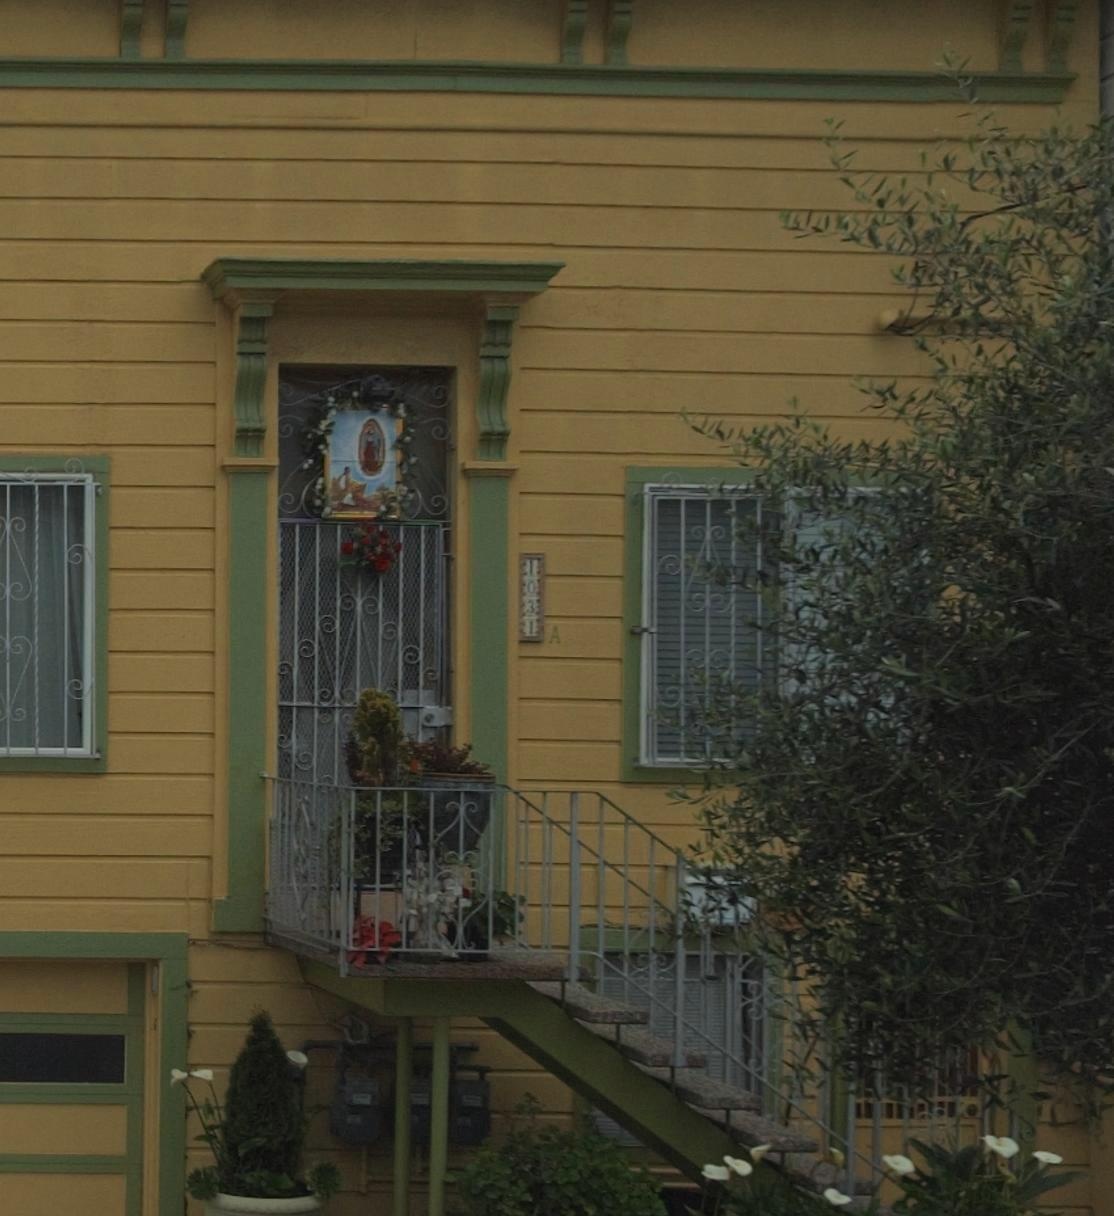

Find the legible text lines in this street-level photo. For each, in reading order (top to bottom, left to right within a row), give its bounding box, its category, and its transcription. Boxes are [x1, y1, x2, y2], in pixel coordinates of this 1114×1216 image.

[524, 559, 538, 637] StreetNumber: 1031 A
[546, 623, 563, 646] StreetNumber: A